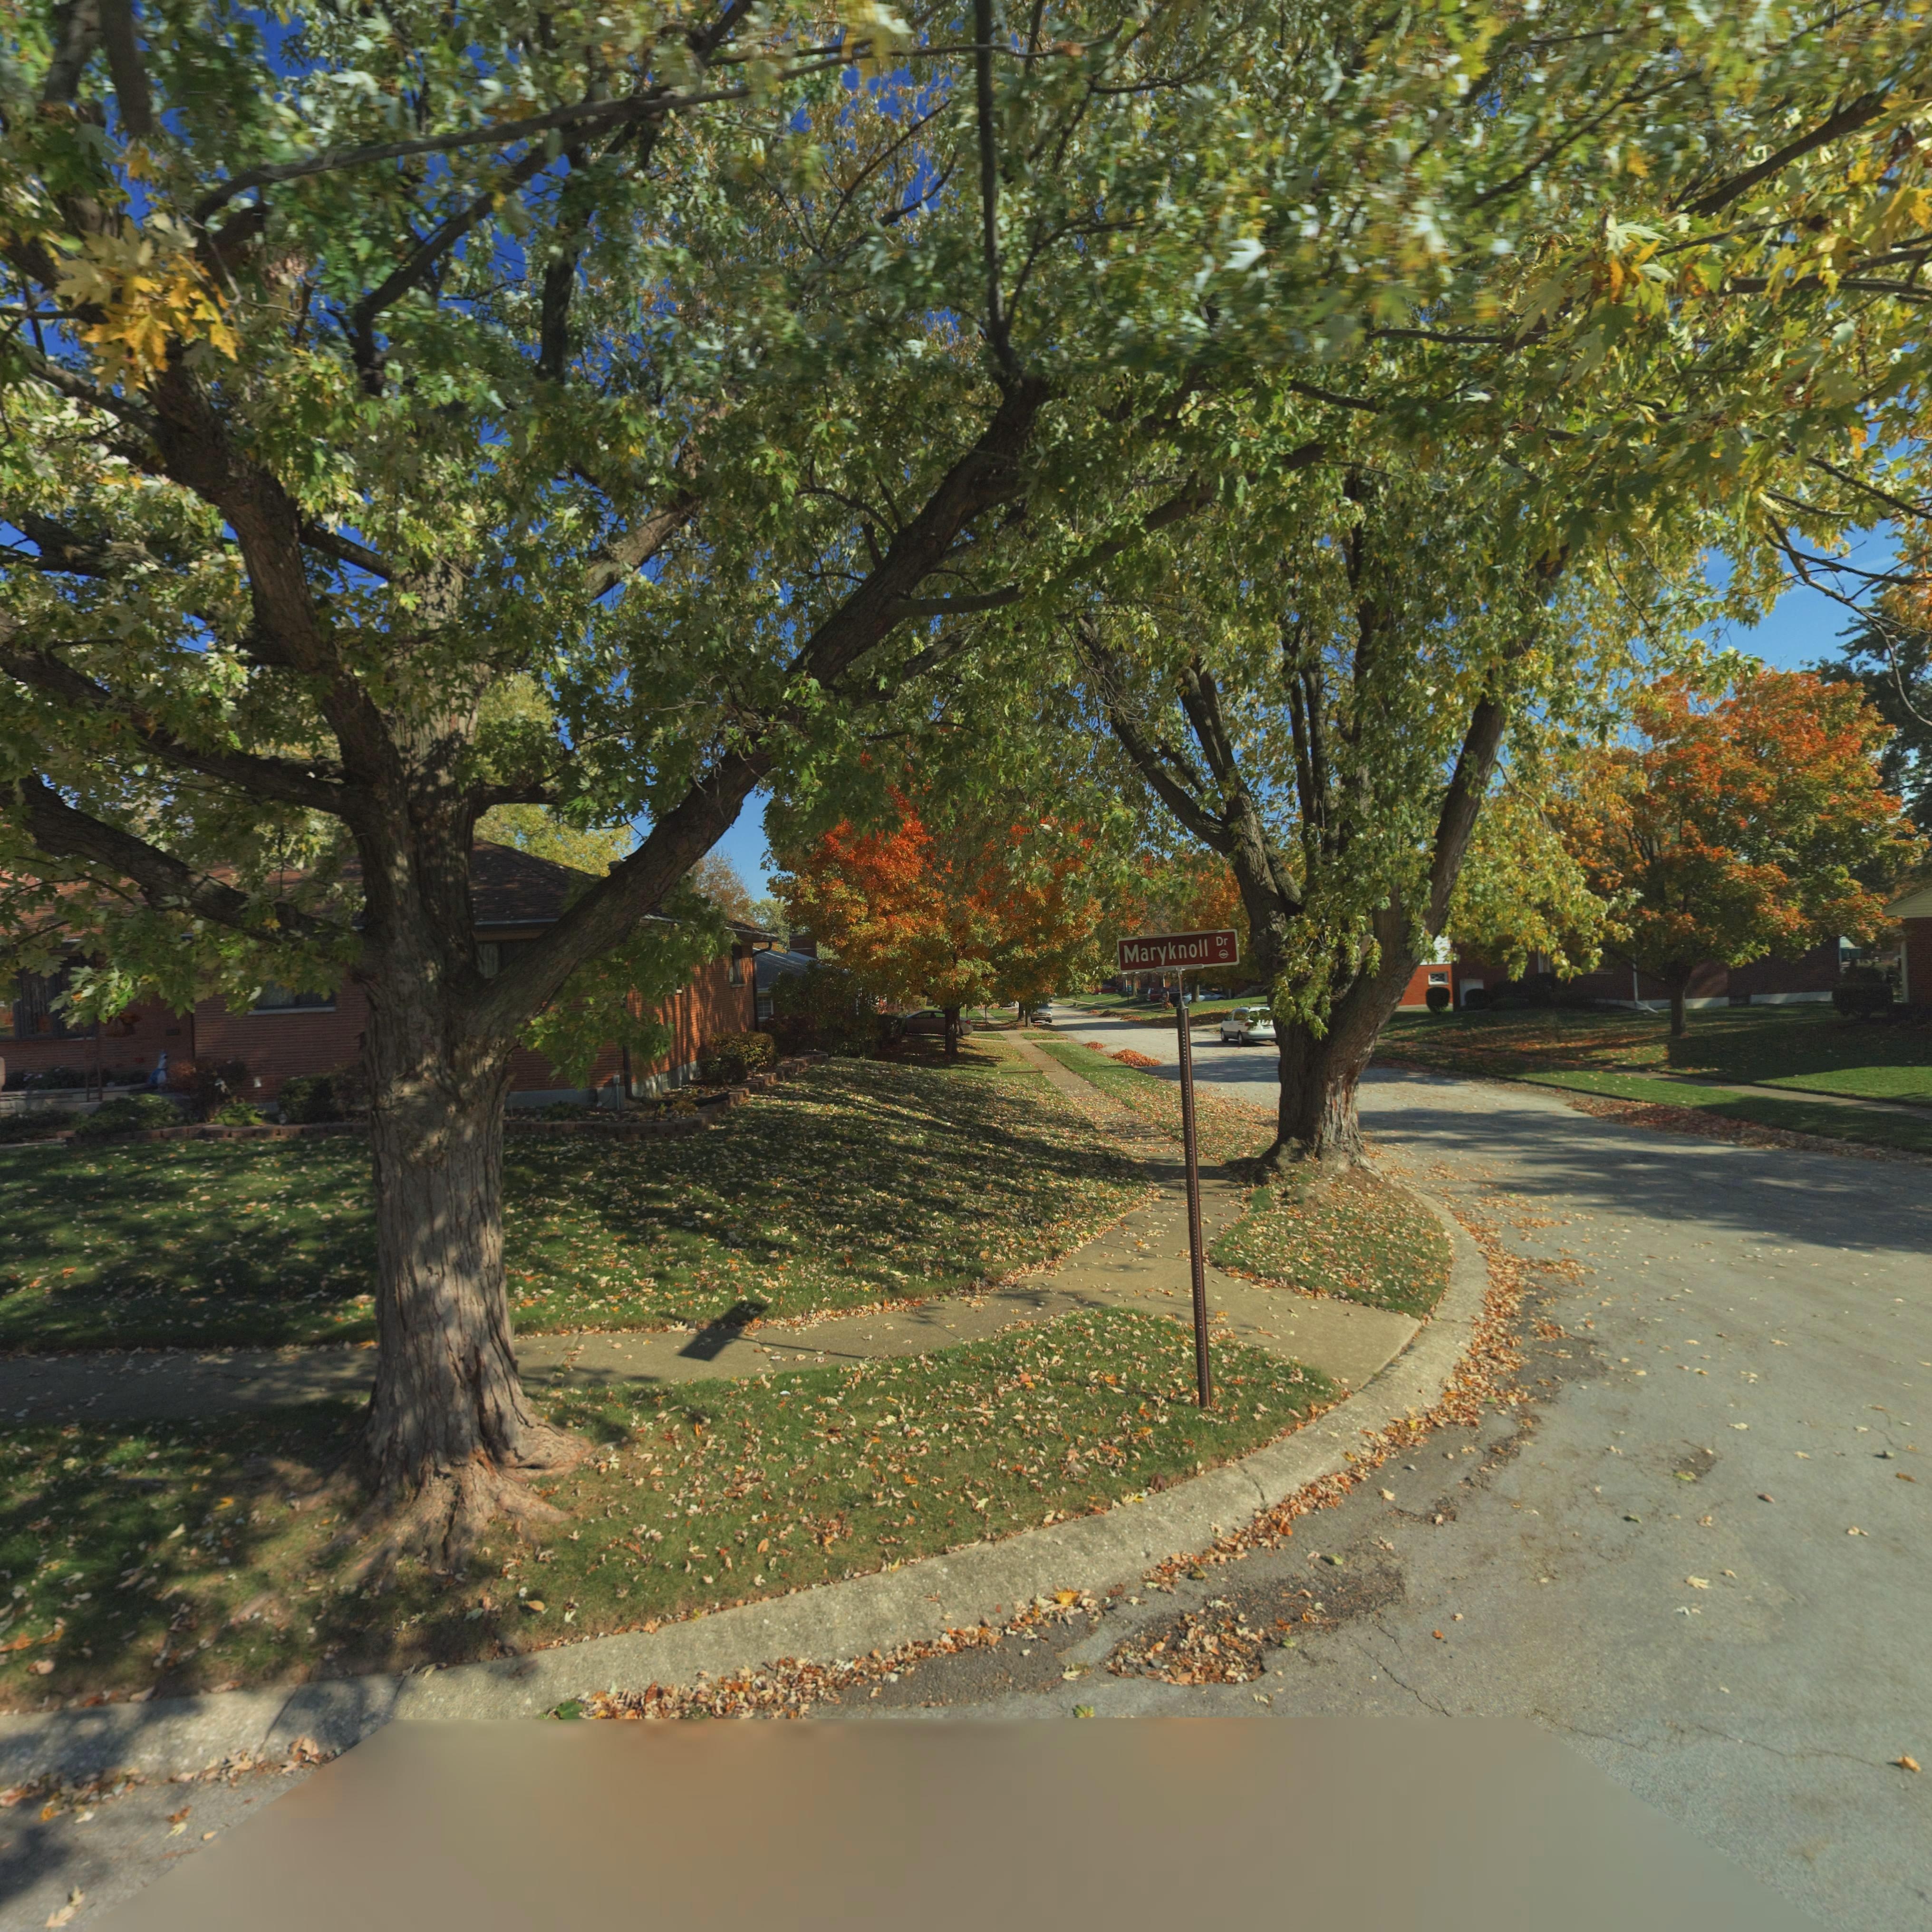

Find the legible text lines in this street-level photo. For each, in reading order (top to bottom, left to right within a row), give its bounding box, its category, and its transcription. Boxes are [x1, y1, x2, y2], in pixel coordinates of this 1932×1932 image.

[1122, 936, 1229, 966] StreetName: Maryknoll Dr